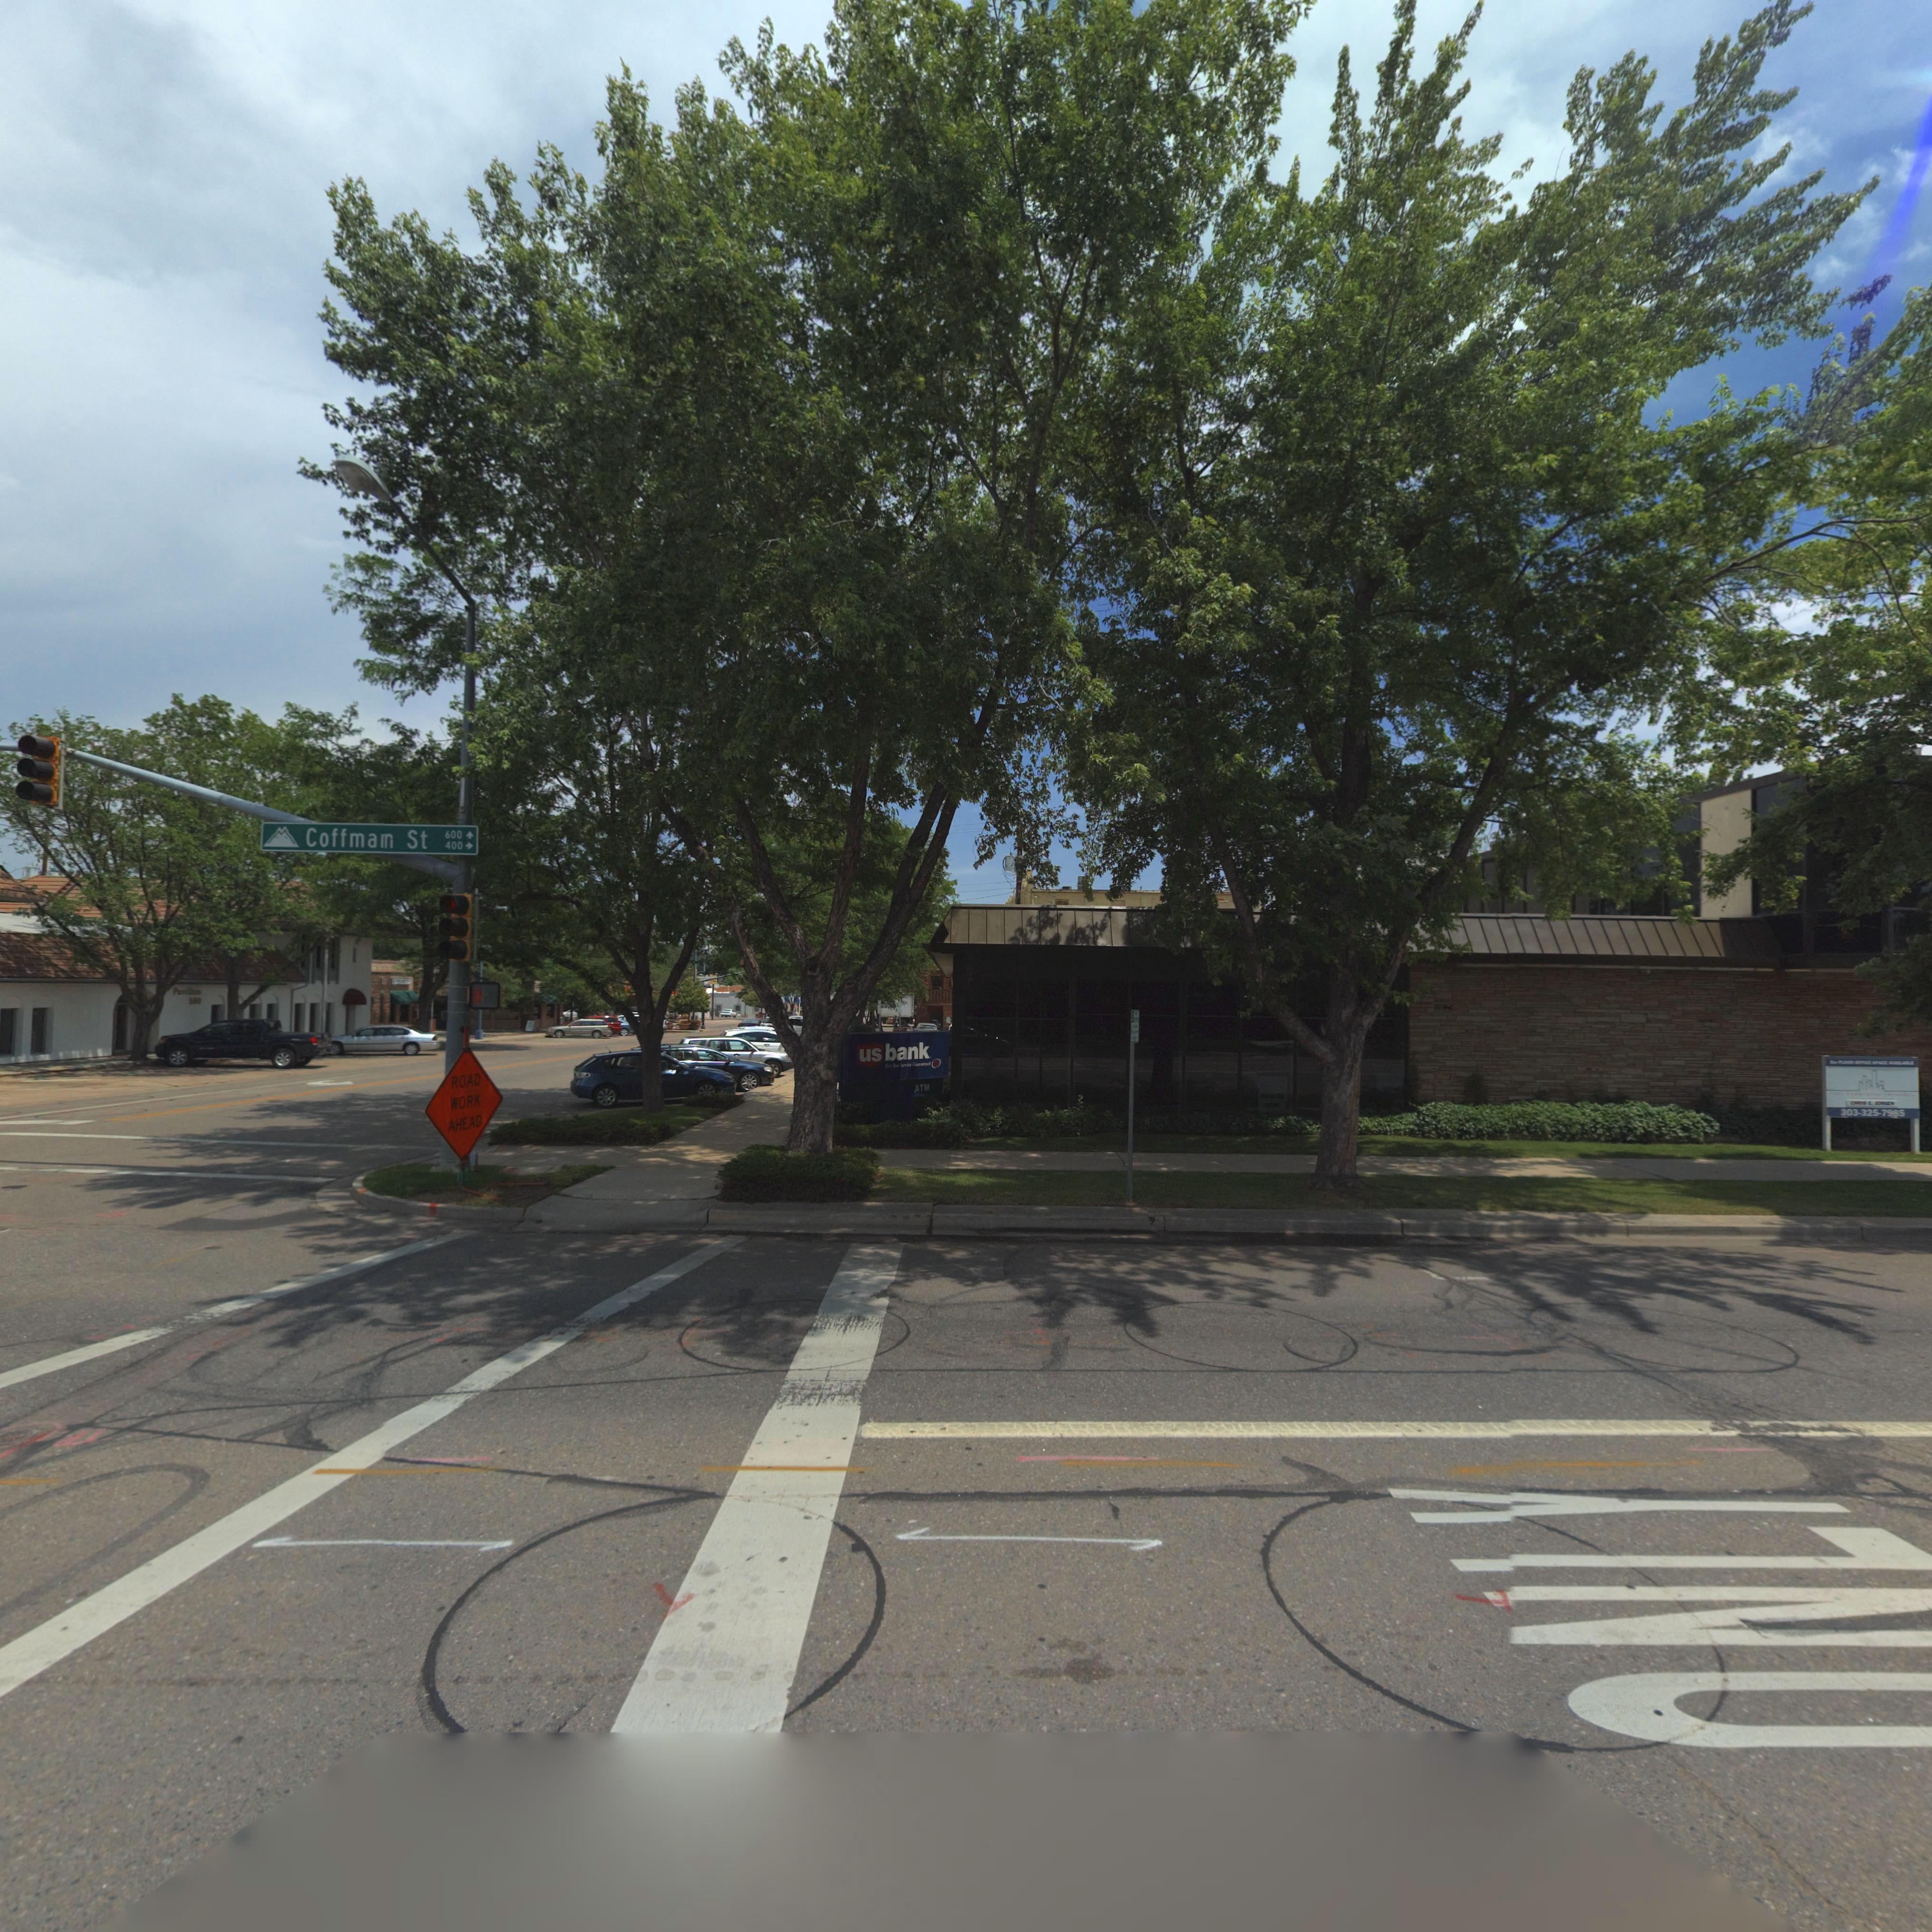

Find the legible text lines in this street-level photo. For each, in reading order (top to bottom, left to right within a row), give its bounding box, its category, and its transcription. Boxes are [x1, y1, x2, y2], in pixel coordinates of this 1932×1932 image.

[305, 827, 428, 850] StreetName: Coffma* St
[444, 830, 462, 839] StreetNumberRange: 600
[444, 841, 473, 850] StreetNumberRange: 400->
[189, 997, 201, 1004] StreetNumber: 5**
[860, 1042, 930, 1062] BusinessName: usbank